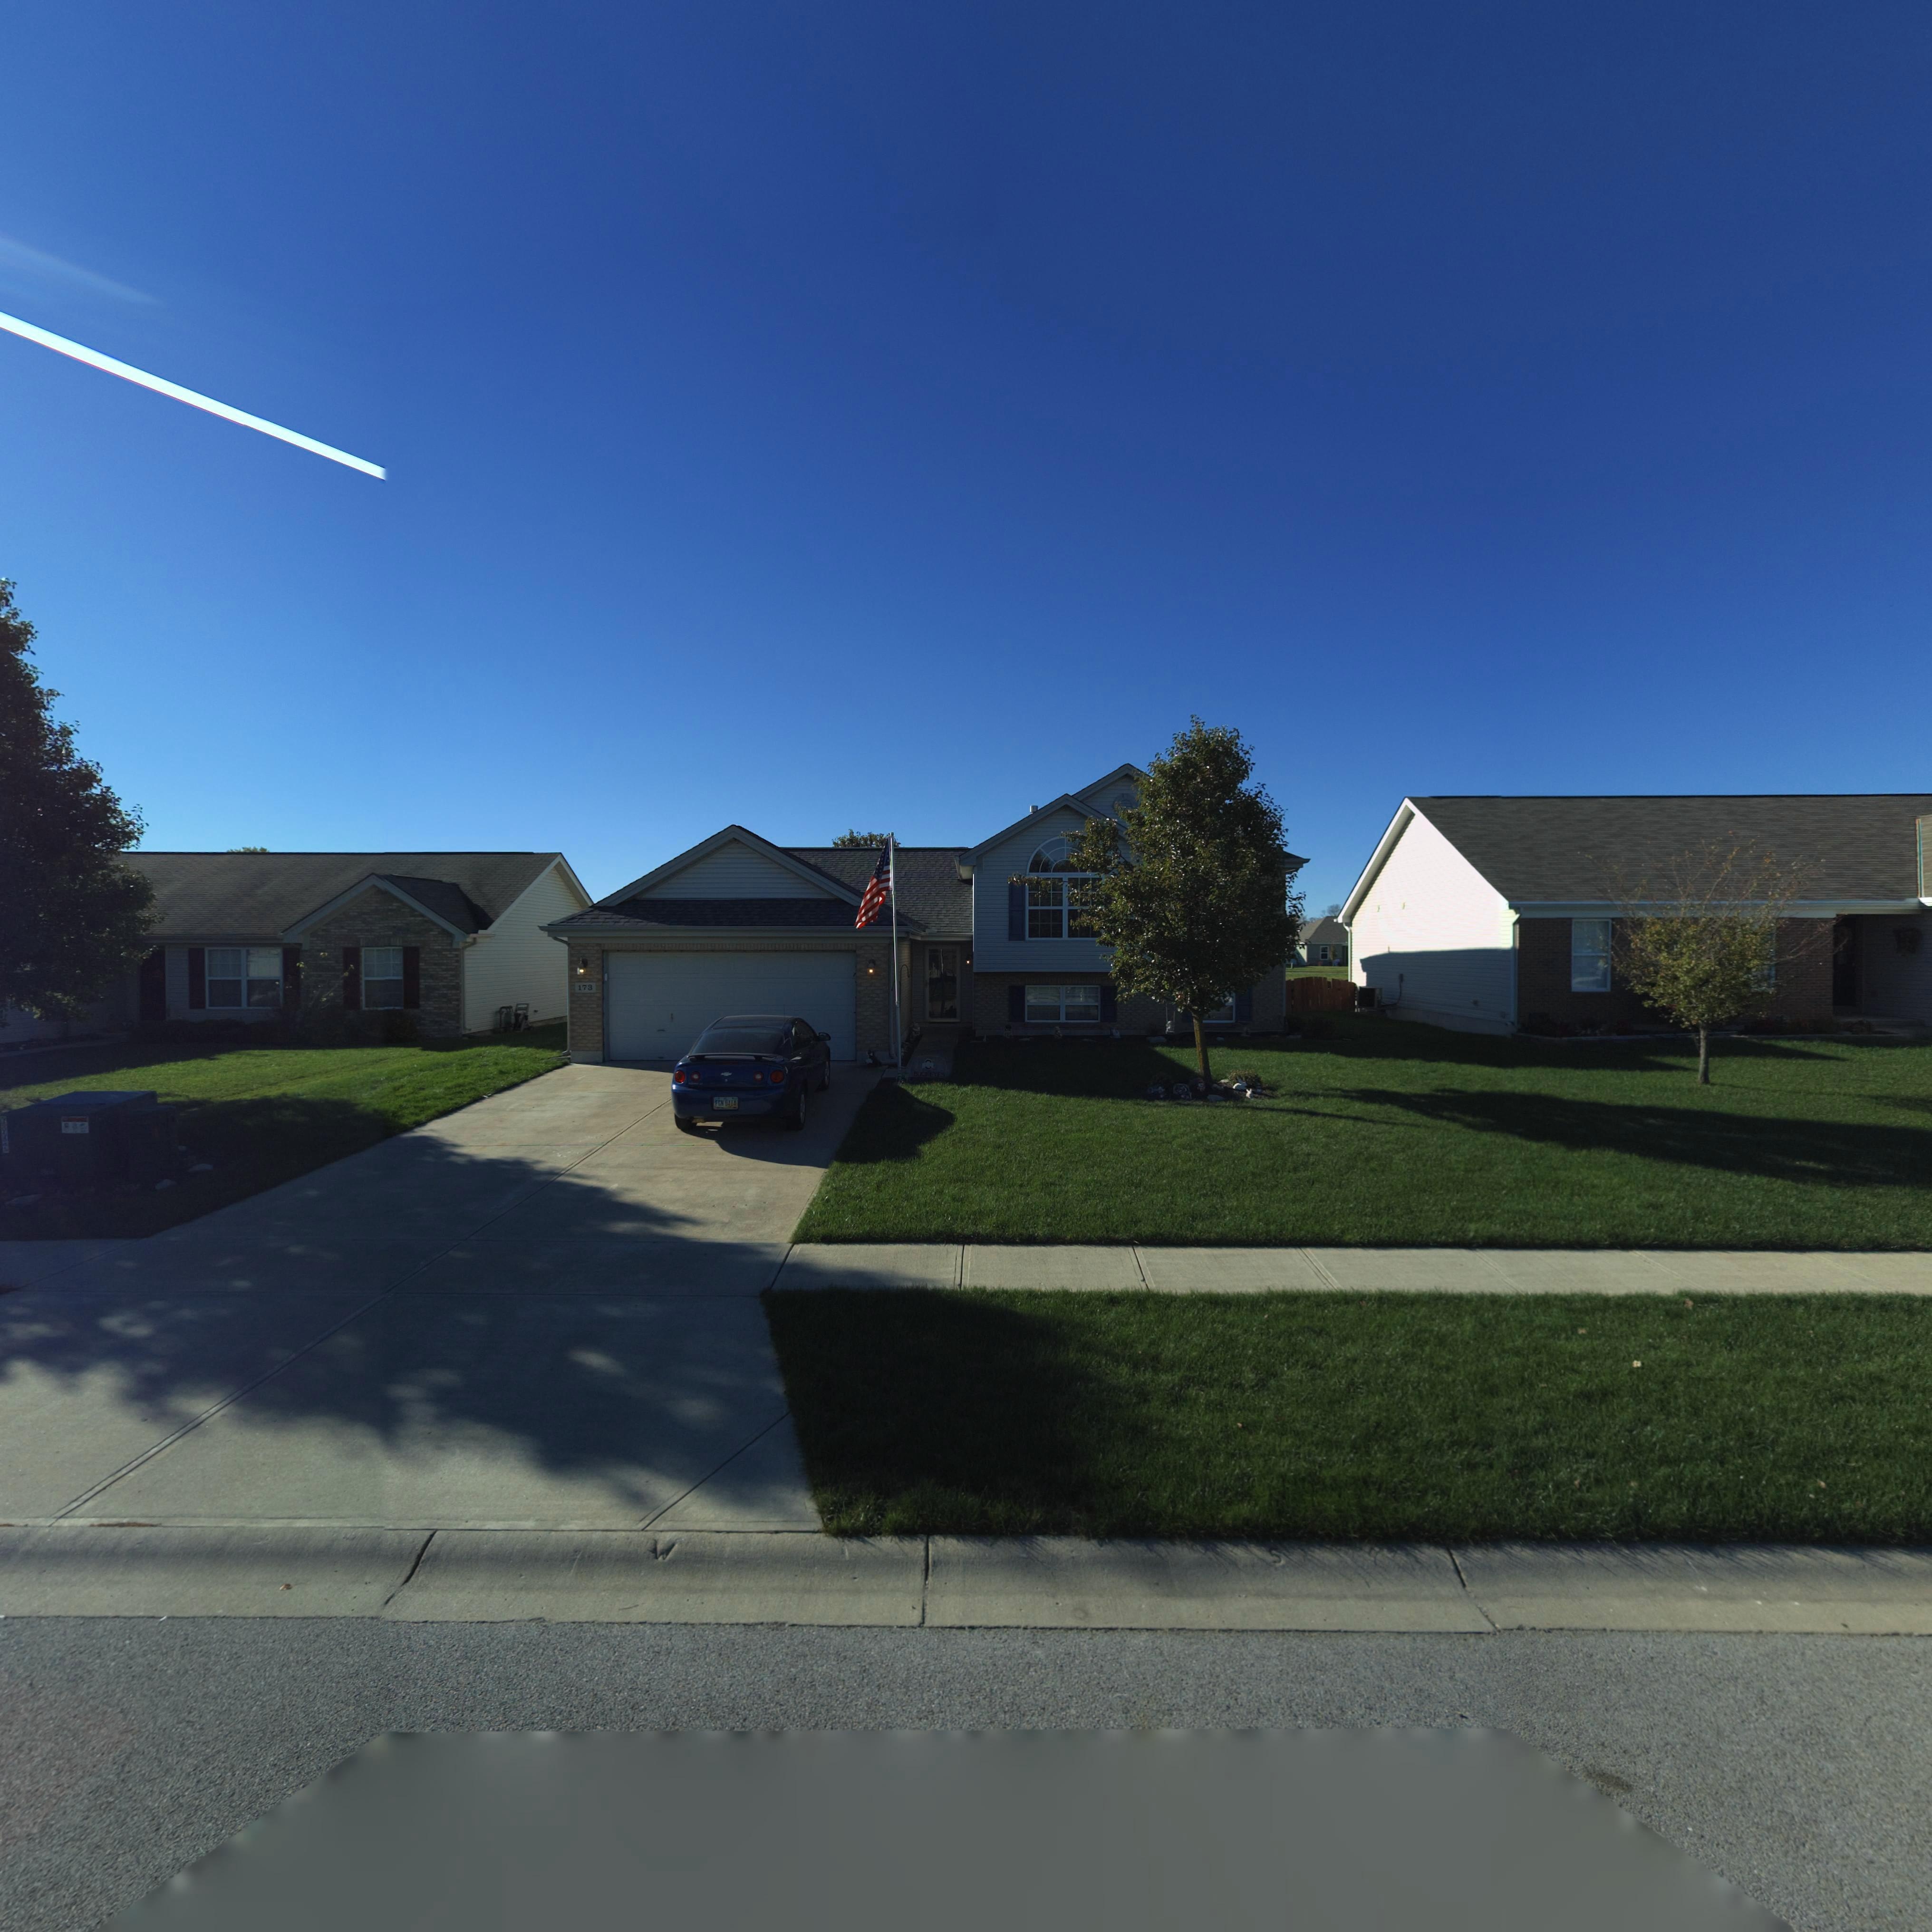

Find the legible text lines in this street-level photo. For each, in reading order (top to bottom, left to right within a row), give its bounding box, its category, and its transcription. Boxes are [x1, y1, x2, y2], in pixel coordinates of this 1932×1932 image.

[577, 984, 593, 991] StreetNumber: 173